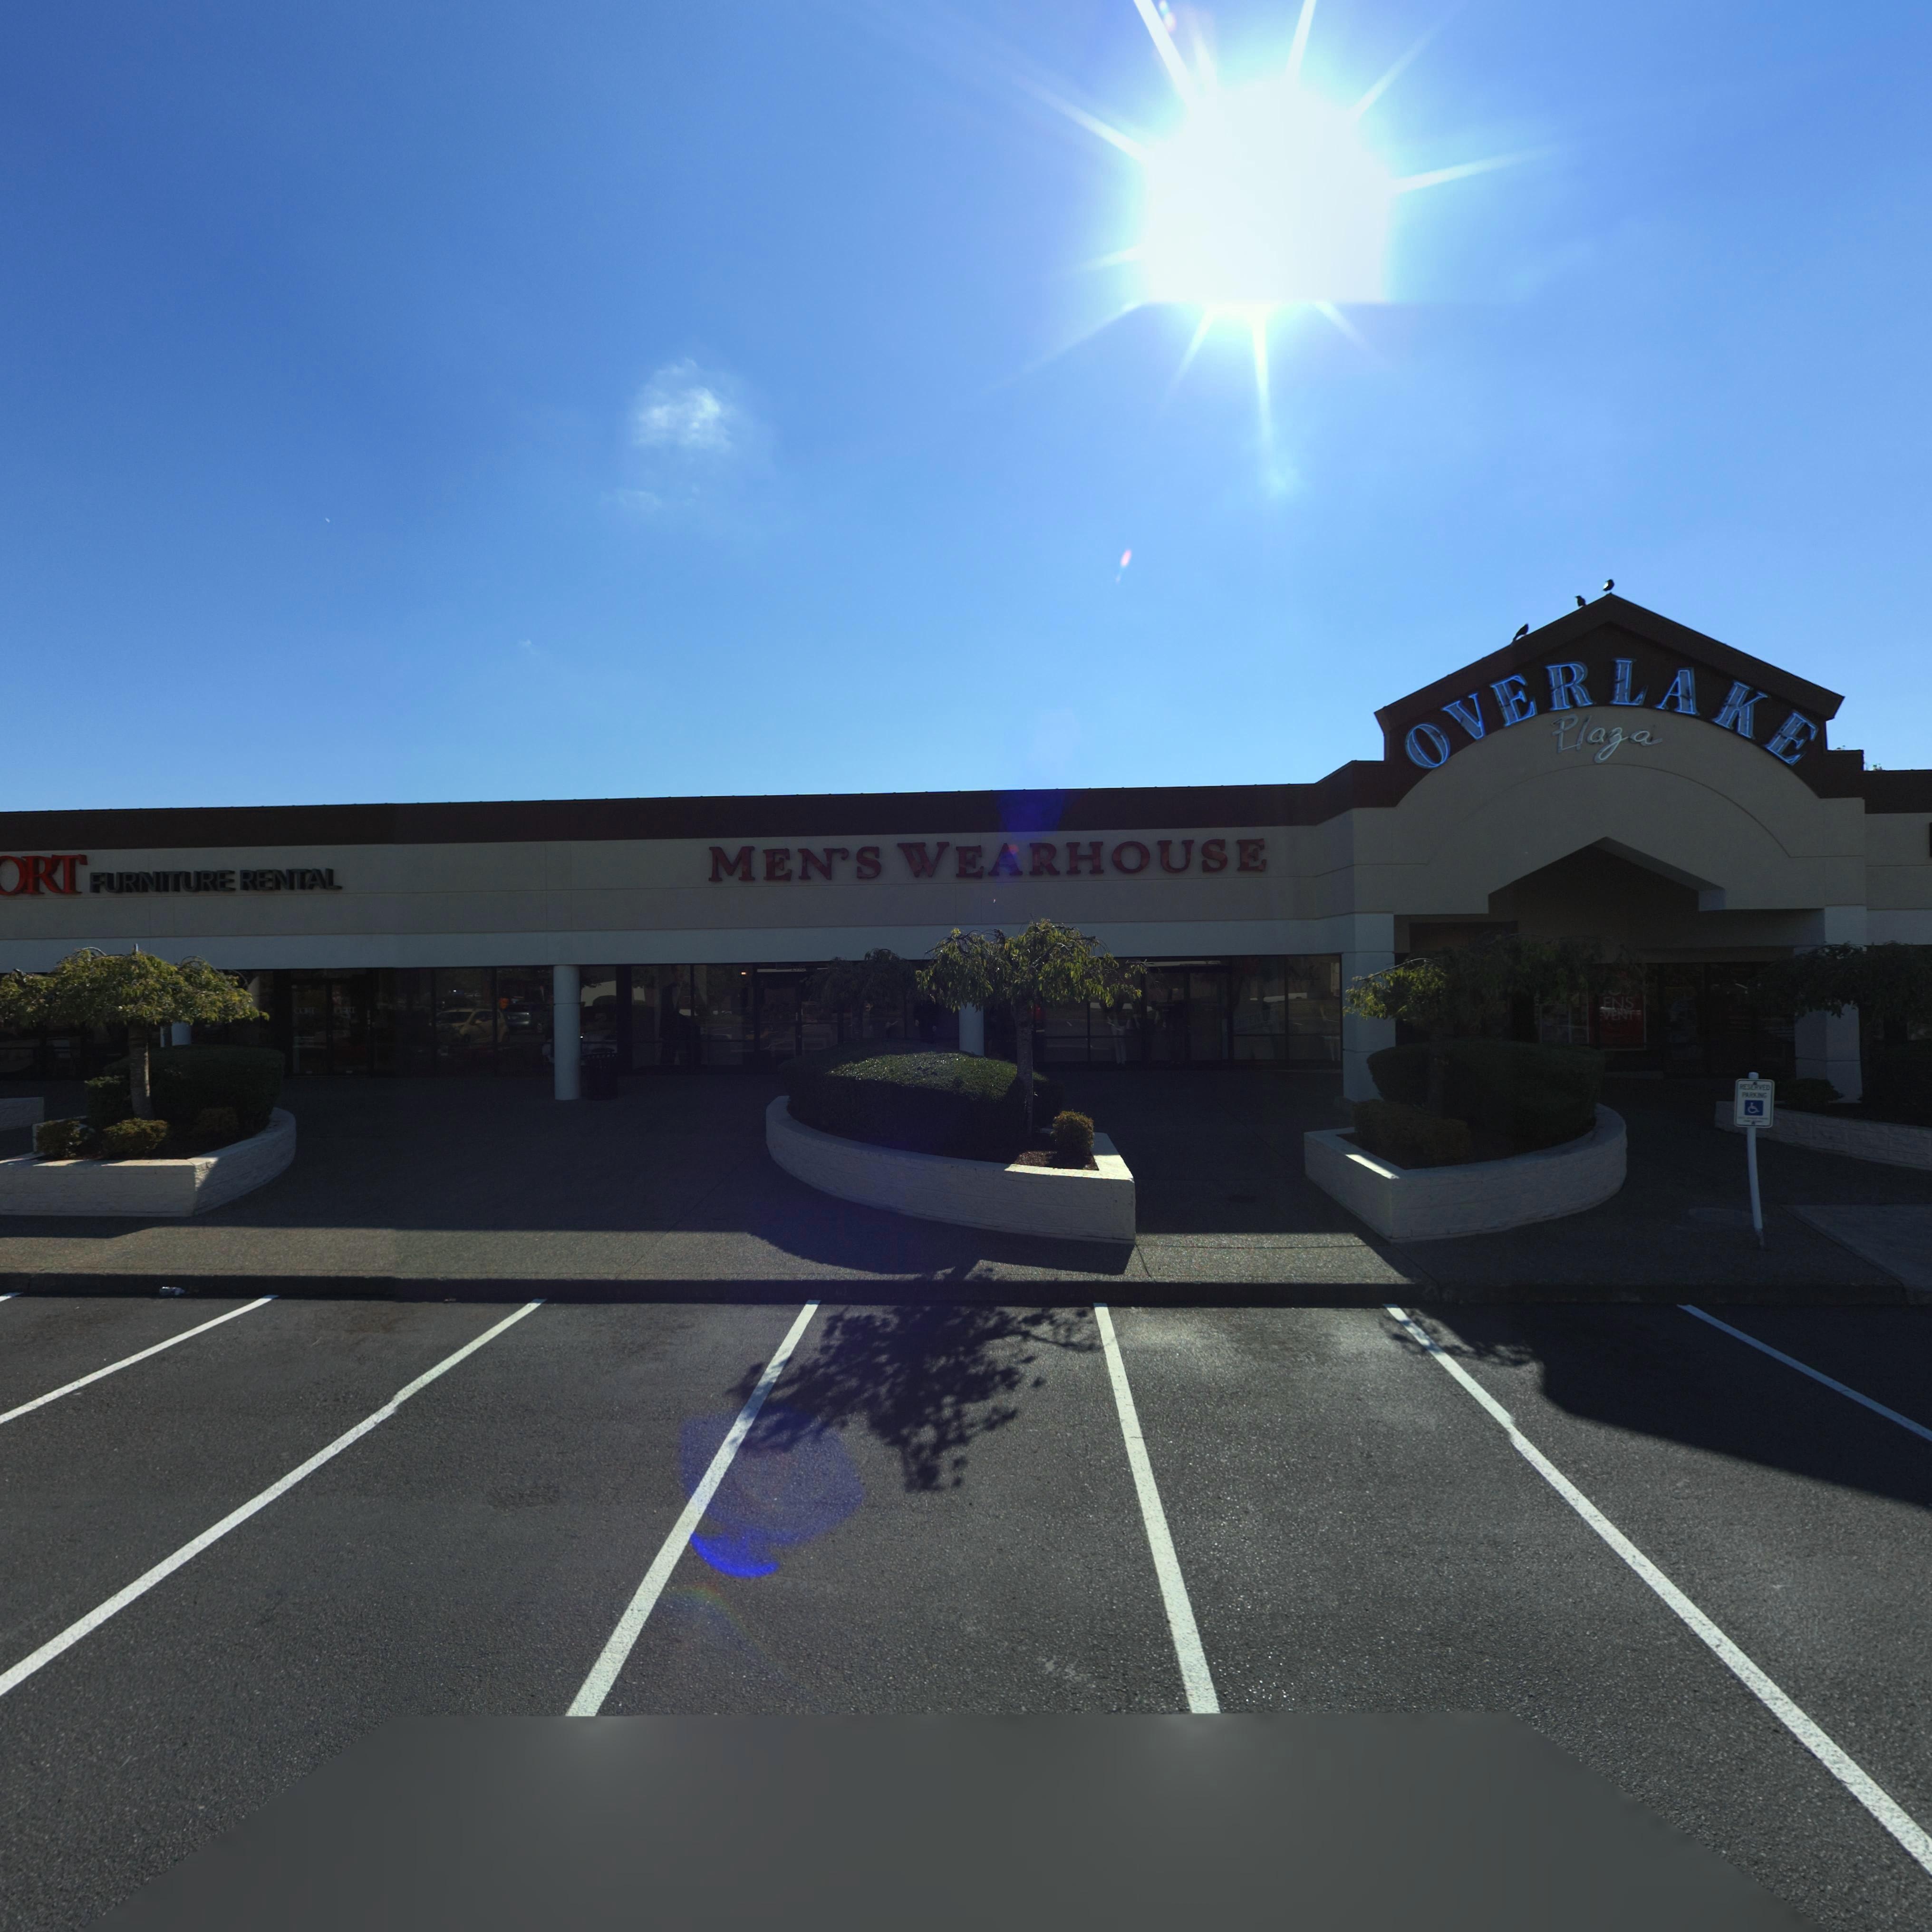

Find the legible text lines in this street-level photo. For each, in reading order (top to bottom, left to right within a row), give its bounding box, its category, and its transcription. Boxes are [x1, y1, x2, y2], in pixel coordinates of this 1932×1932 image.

[1543, 713, 1672, 774] None: OVERLAKE
[89, 869, 341, 890] BusinessName: FURNITURE RENTAL